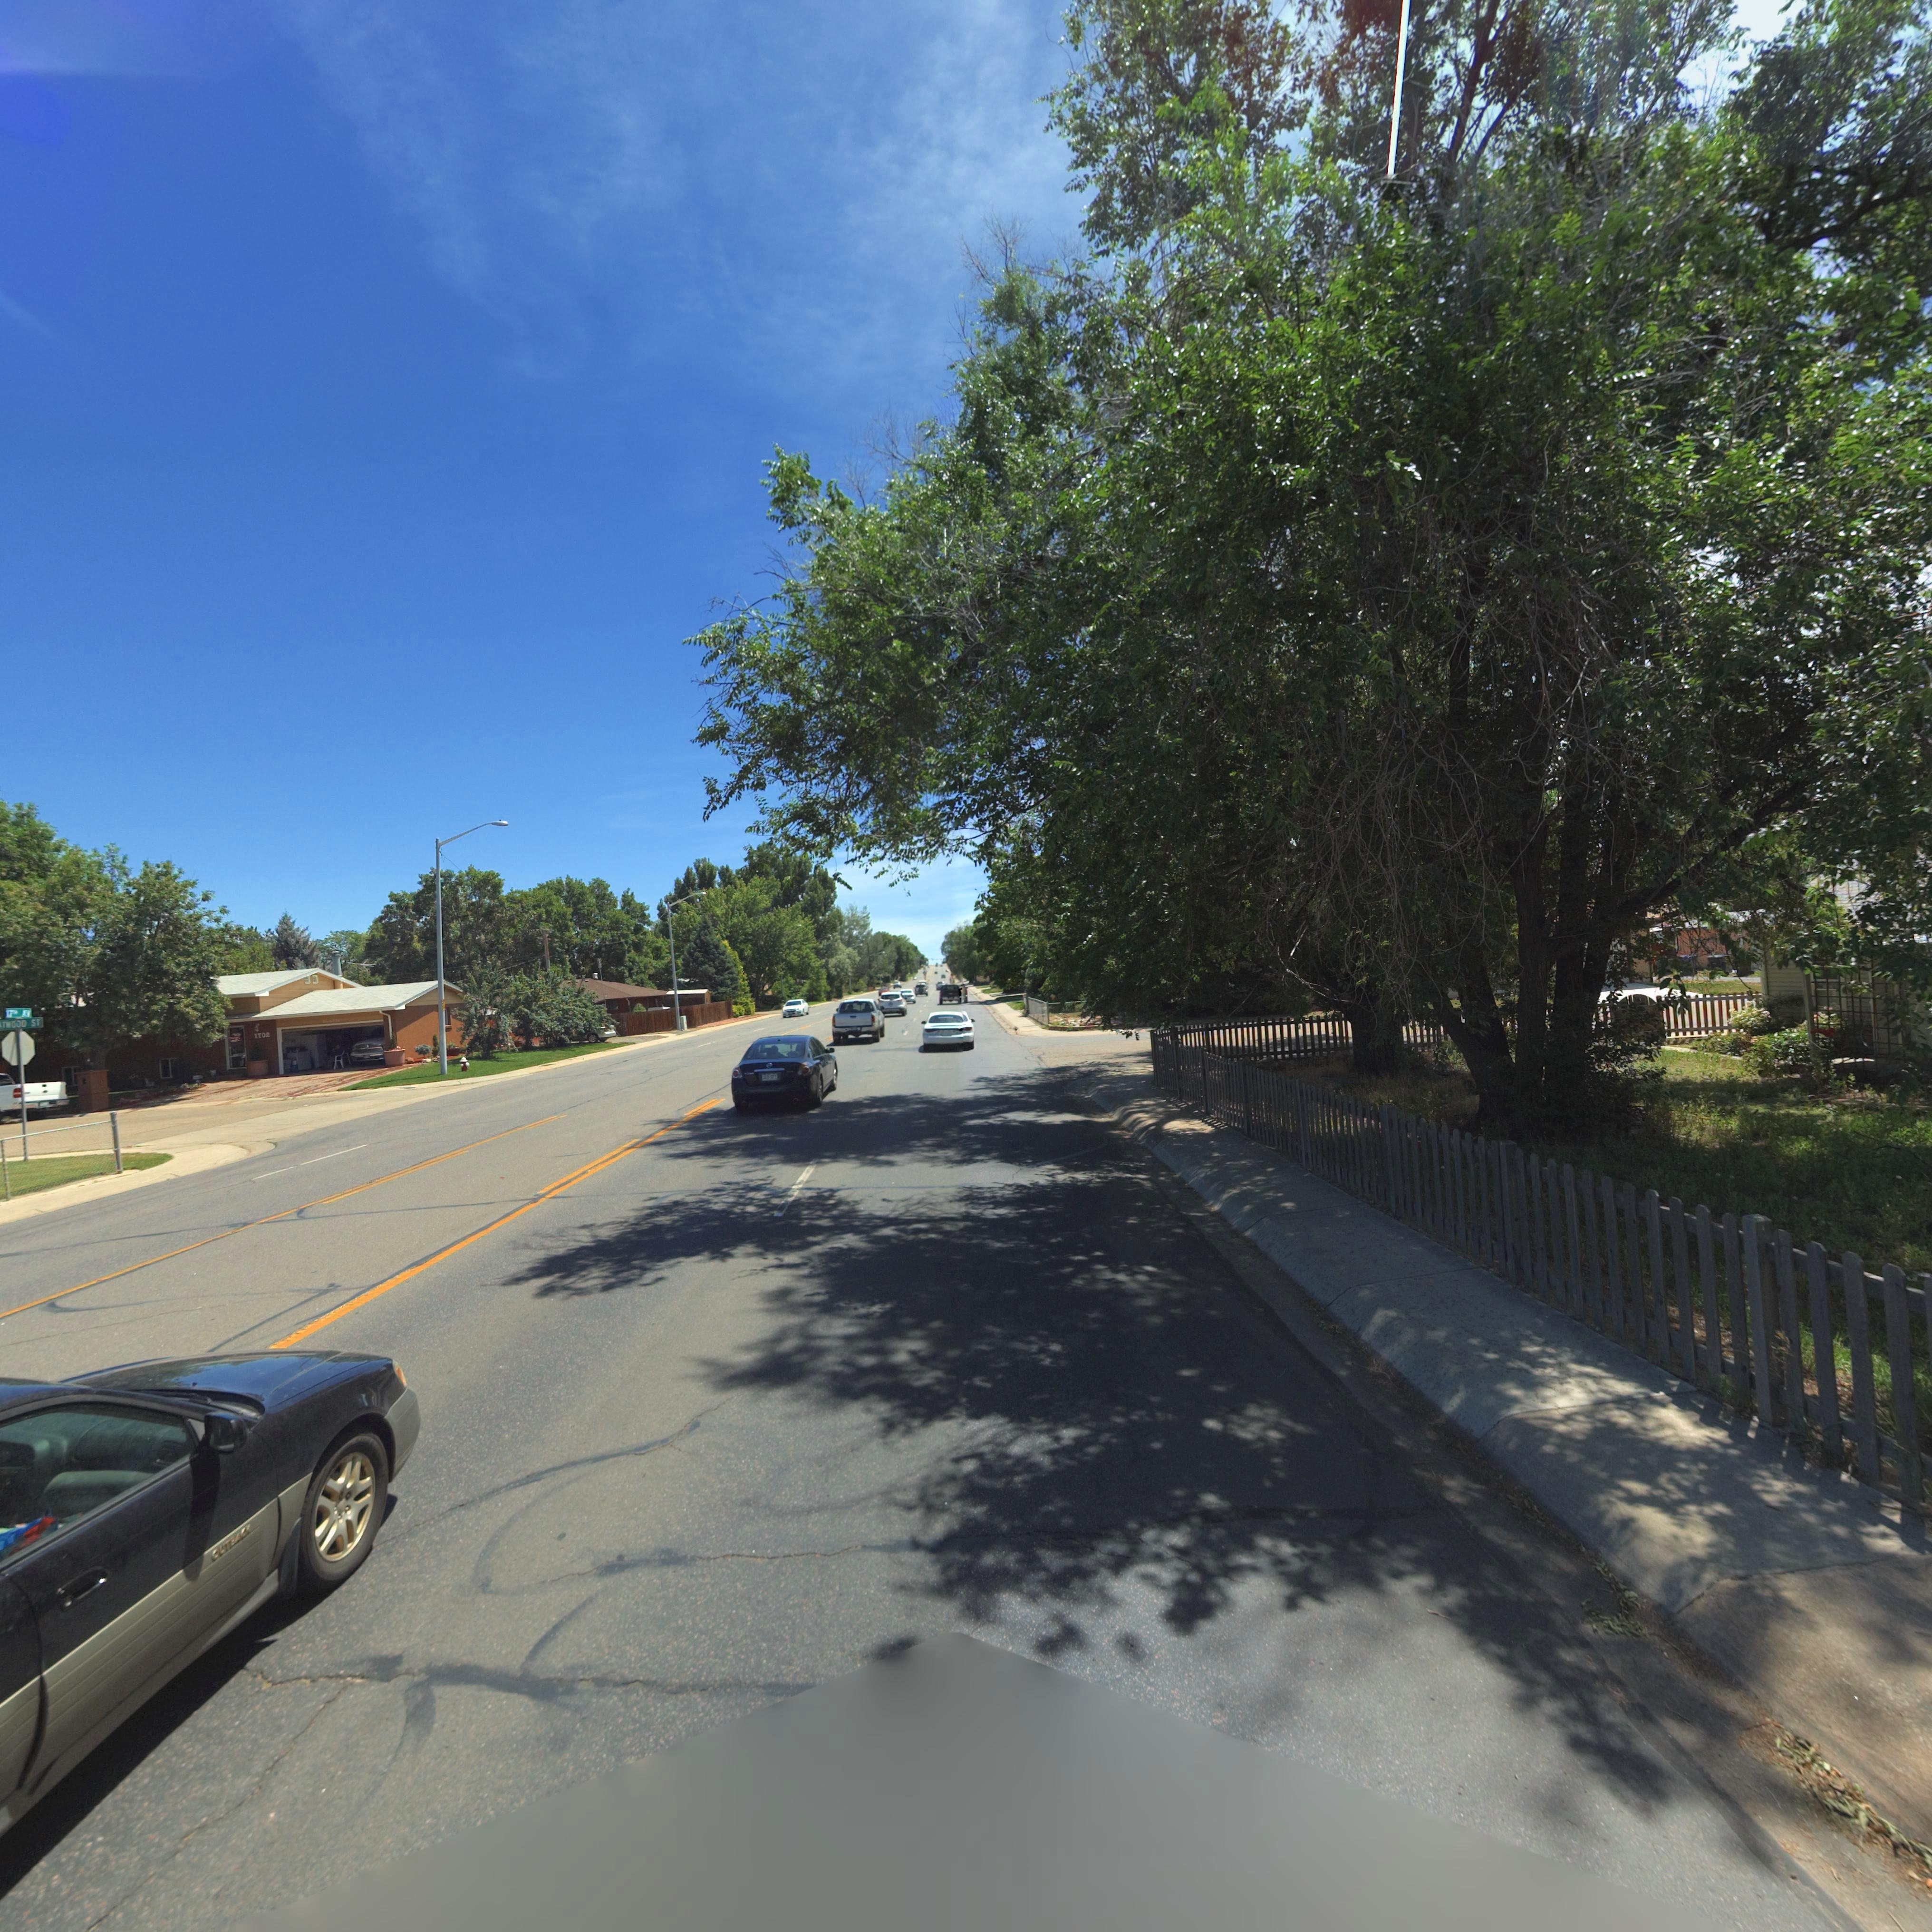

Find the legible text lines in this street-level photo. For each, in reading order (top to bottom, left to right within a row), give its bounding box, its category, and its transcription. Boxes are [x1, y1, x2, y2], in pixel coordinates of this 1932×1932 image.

[6, 1009, 31, 1017] StreetName: 1*** AV
[5, 1019, 40, 1029] StreetName: WOOD ST
[253, 1032, 270, 1038] StreetNumber: 1702